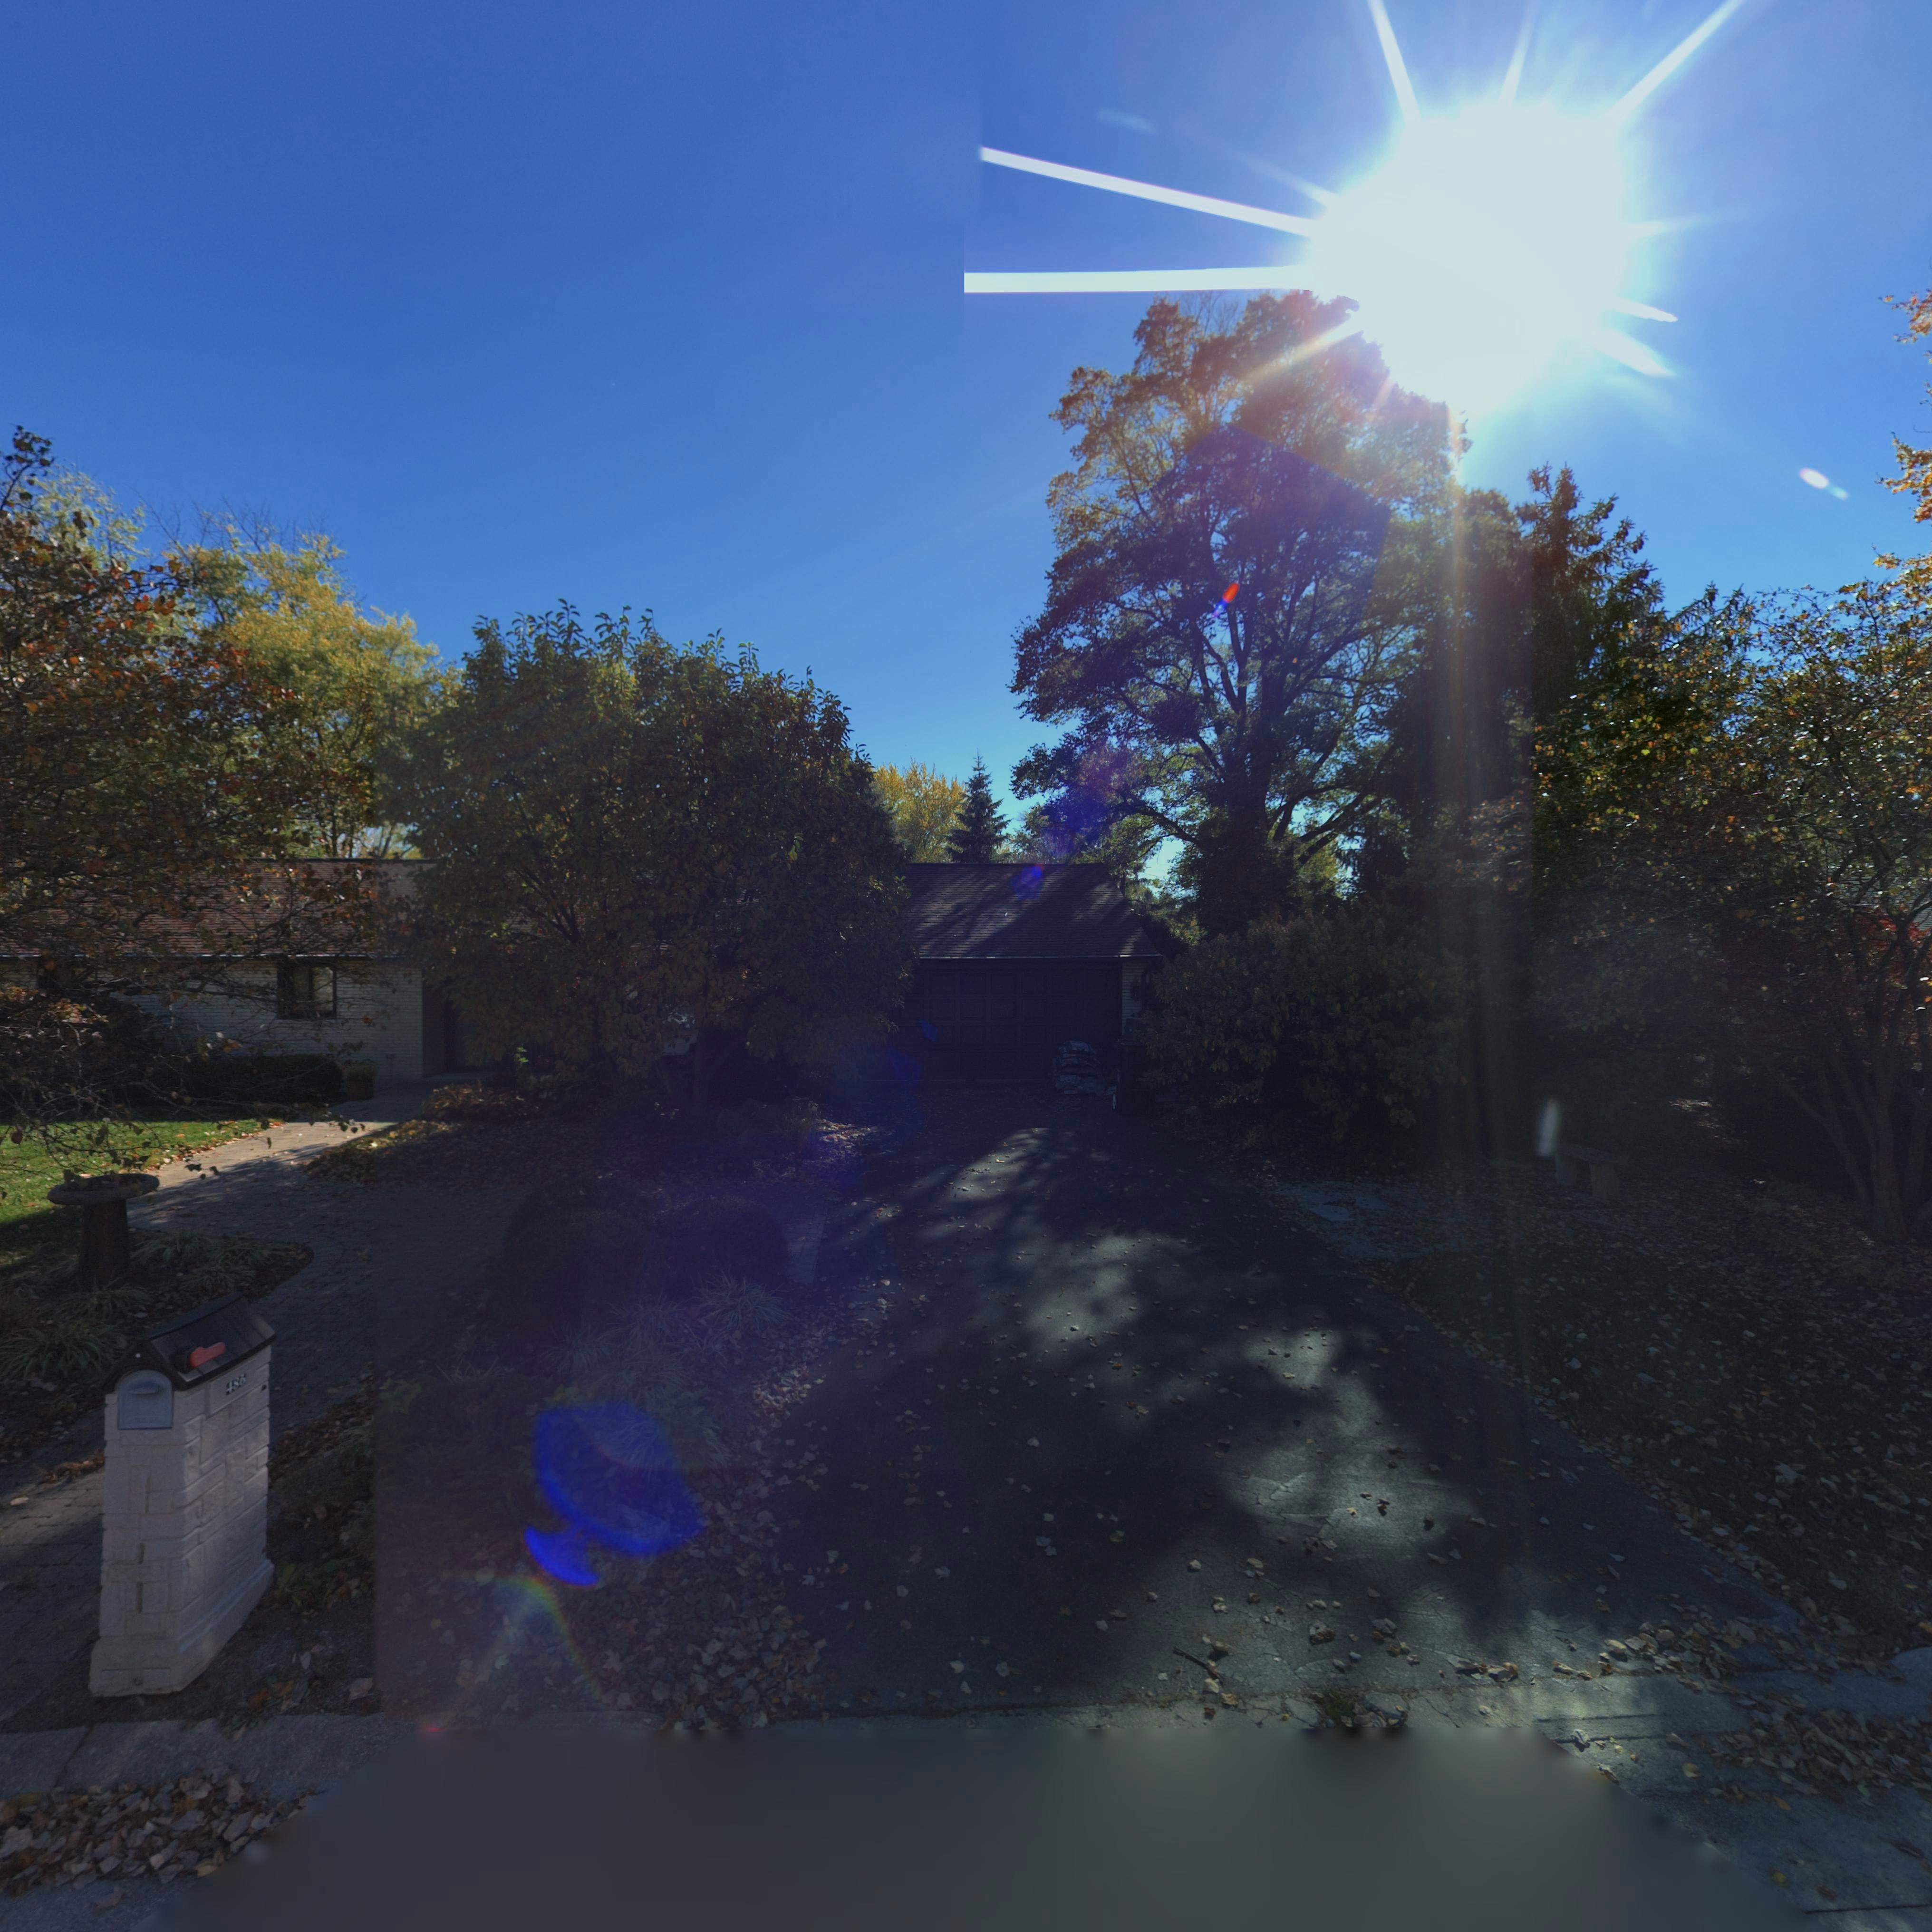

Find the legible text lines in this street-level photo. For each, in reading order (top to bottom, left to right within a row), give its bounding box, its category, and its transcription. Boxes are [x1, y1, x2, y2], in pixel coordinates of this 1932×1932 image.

[225, 1372, 246, 1394] StreetNumber: 486